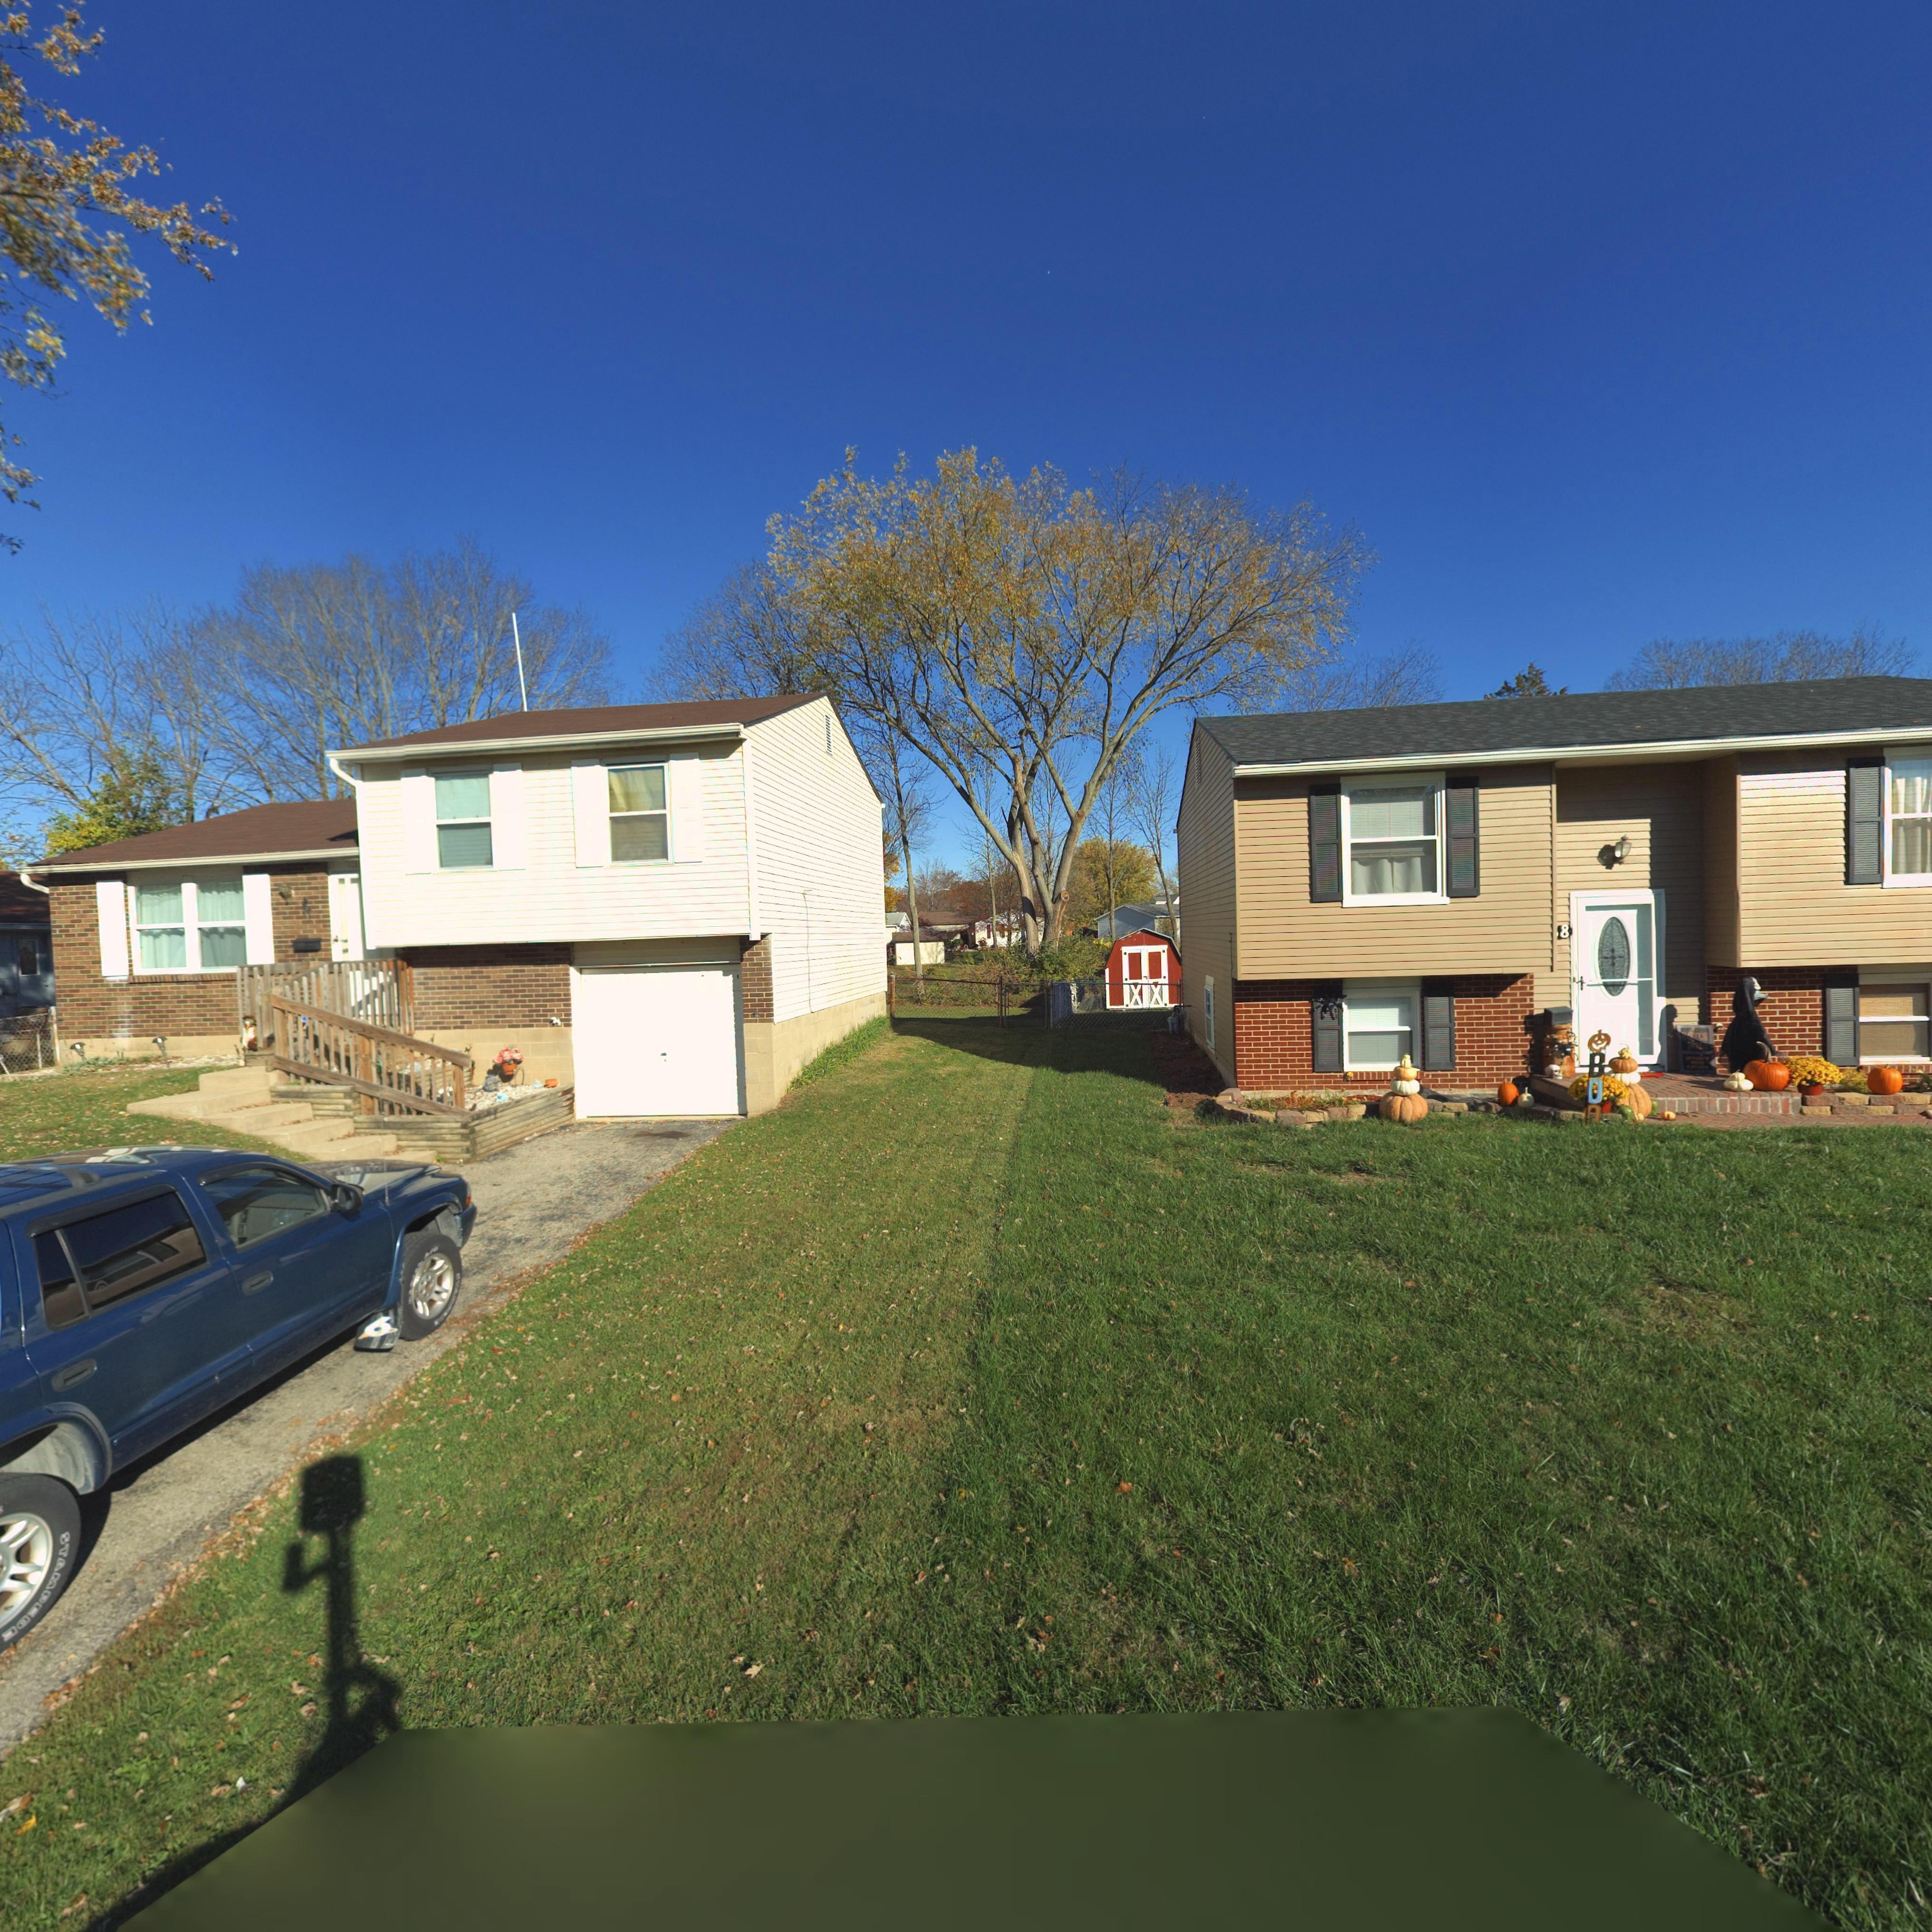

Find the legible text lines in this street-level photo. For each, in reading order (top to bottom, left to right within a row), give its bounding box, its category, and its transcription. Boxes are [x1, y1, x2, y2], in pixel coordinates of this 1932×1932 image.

[1559, 924, 1570, 938] StreetNumber: 8